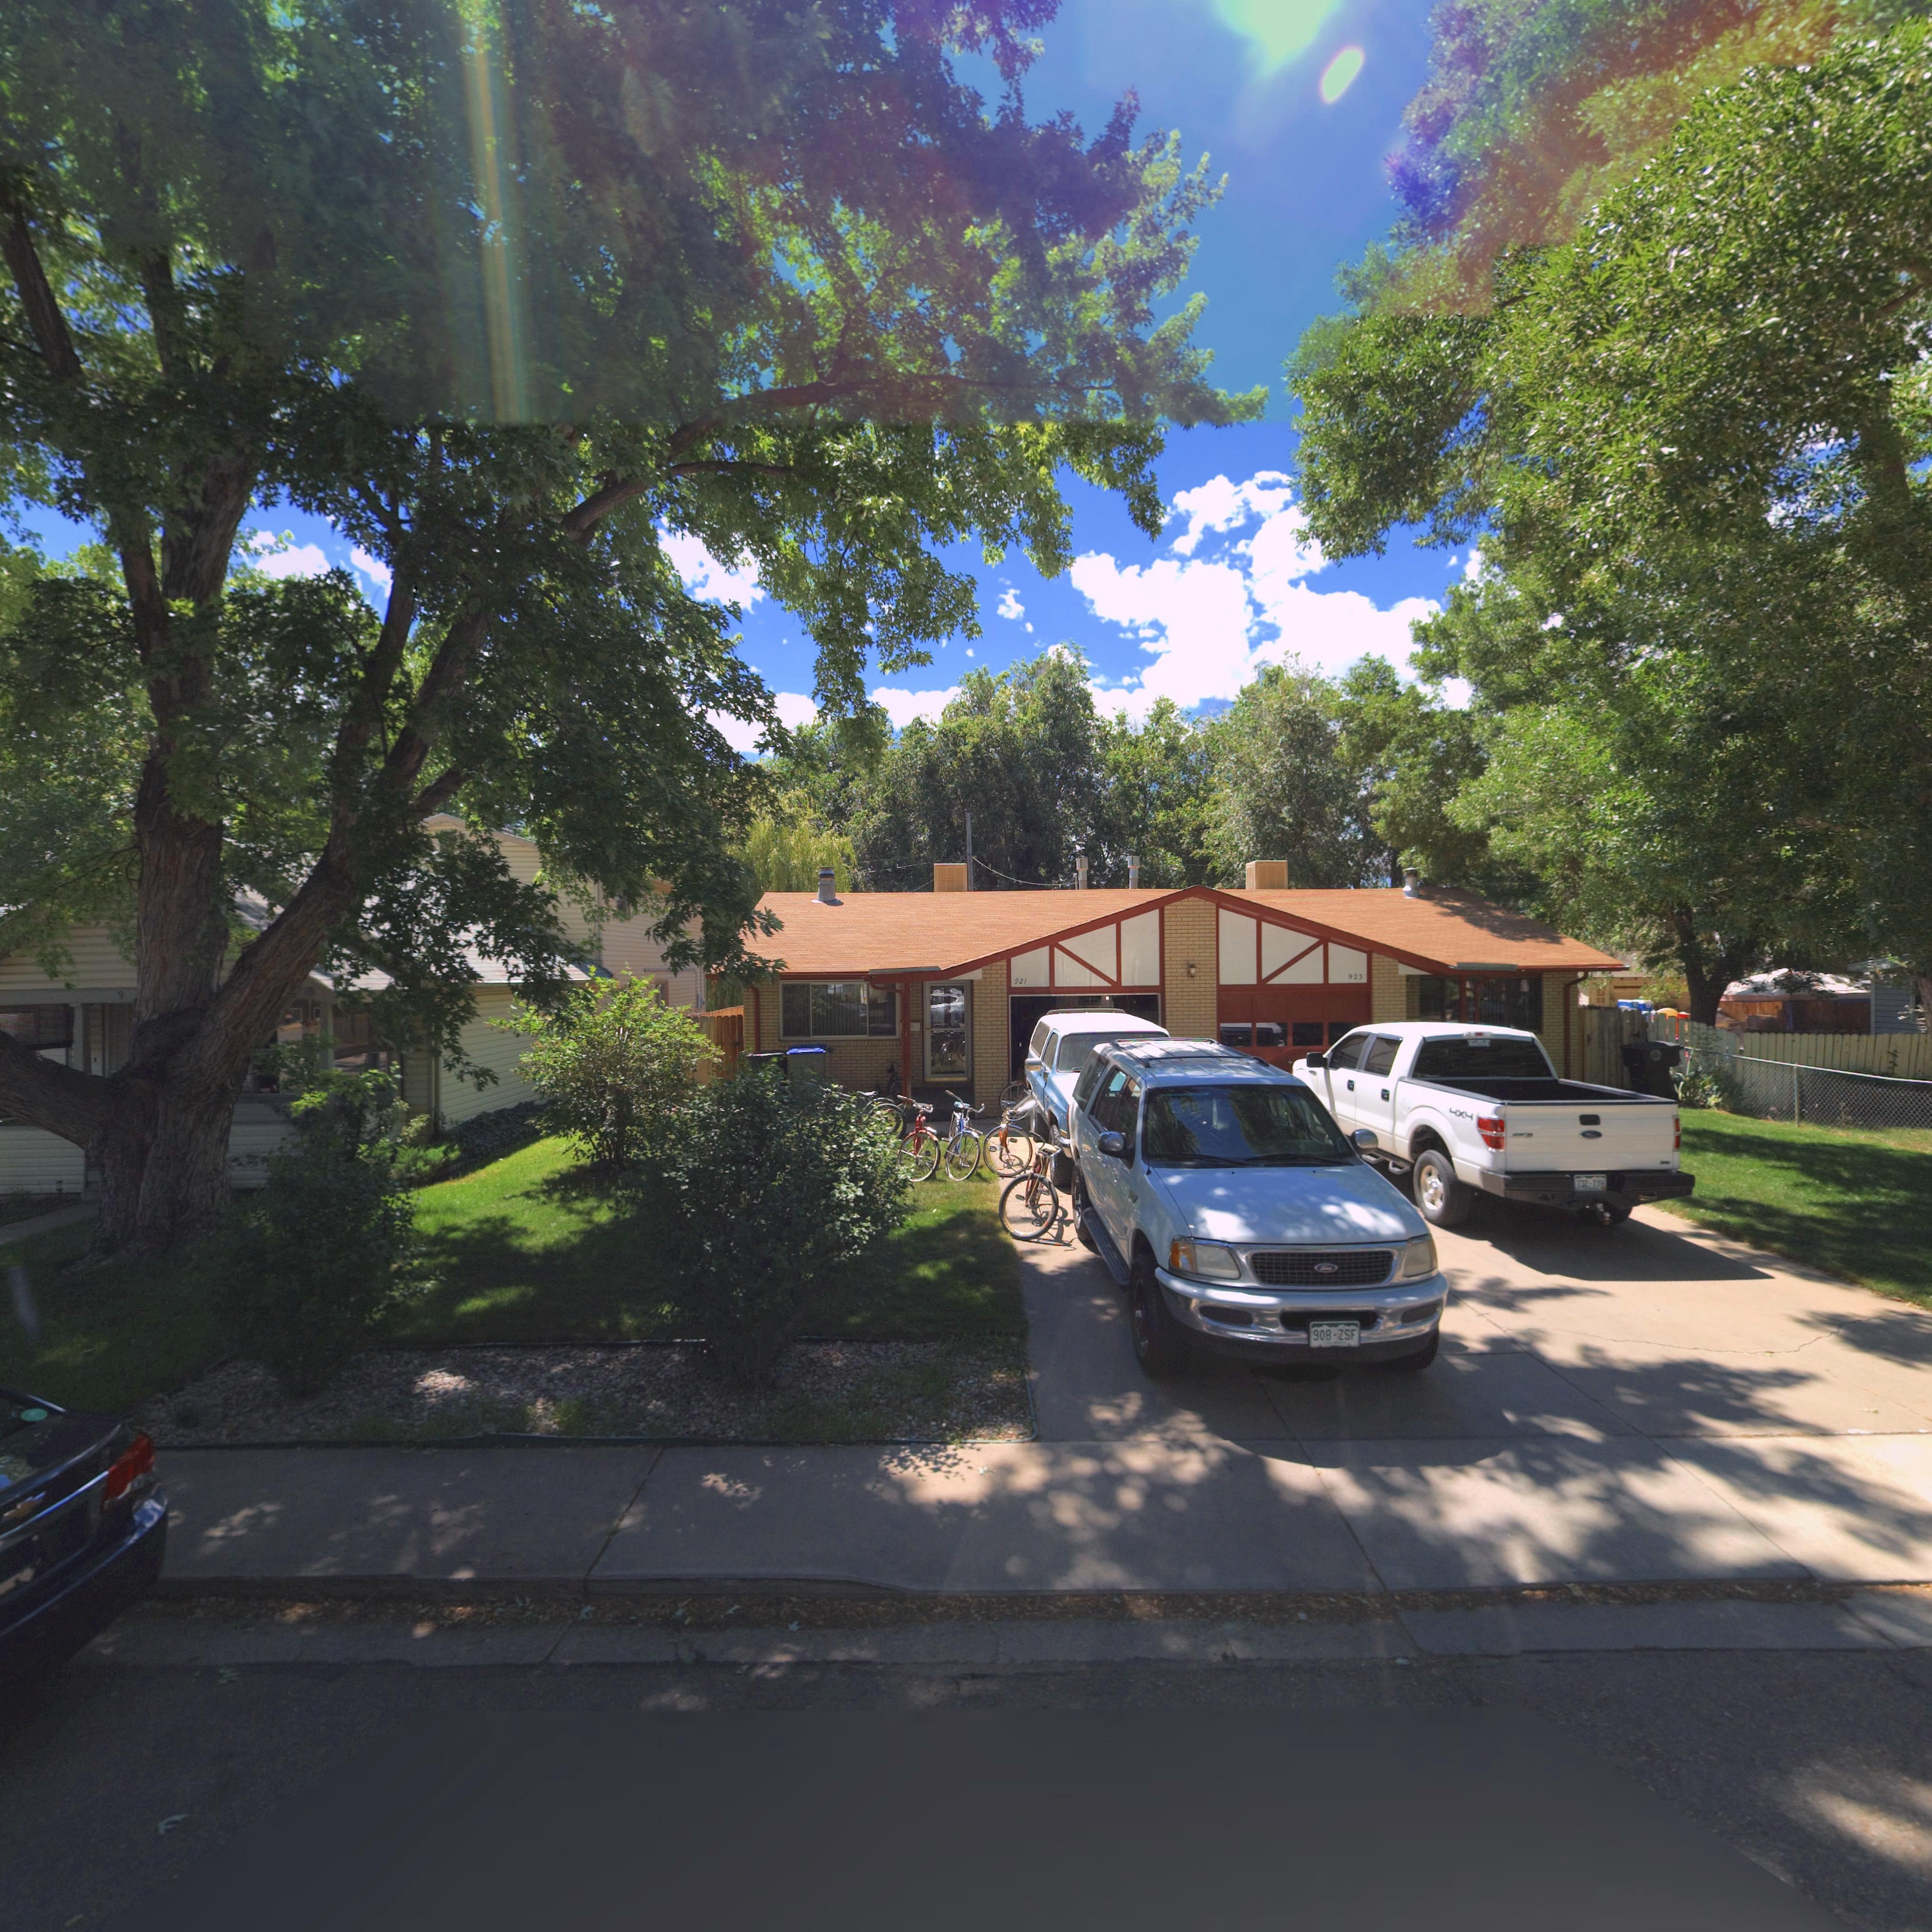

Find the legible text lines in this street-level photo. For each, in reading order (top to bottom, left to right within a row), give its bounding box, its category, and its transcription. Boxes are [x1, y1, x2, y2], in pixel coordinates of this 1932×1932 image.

[1348, 973, 1362, 979] StreetNumber: 923
[1014, 978, 1027, 984] StreetNumber: 921